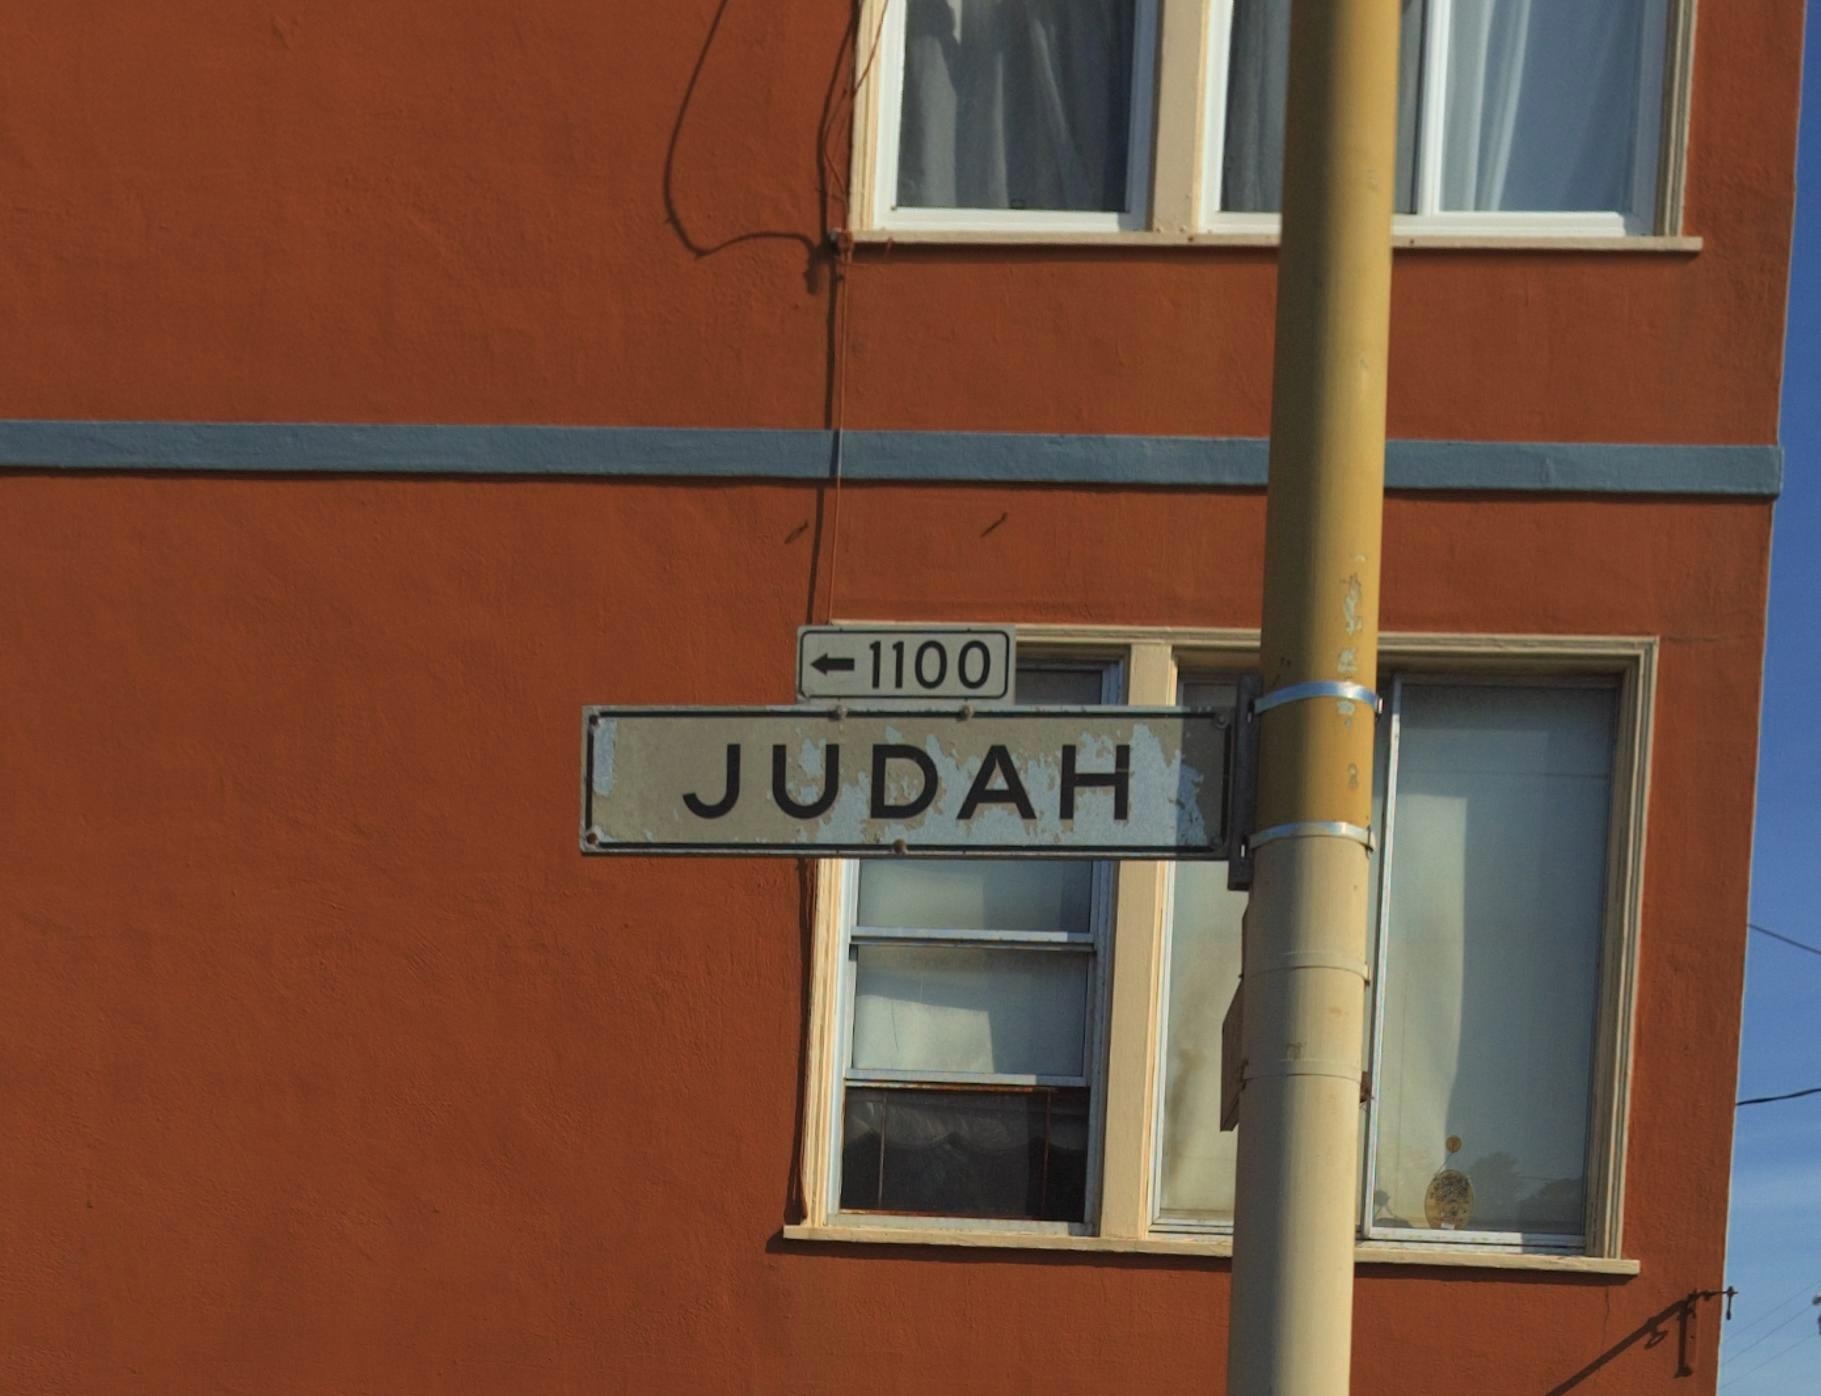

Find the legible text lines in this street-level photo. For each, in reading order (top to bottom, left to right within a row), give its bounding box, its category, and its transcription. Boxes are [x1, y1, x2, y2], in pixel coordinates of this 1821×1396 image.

[807, 636, 996, 692] StreetNumberRange: <-1100
[671, 731, 1135, 825] StreetName: JUDAH